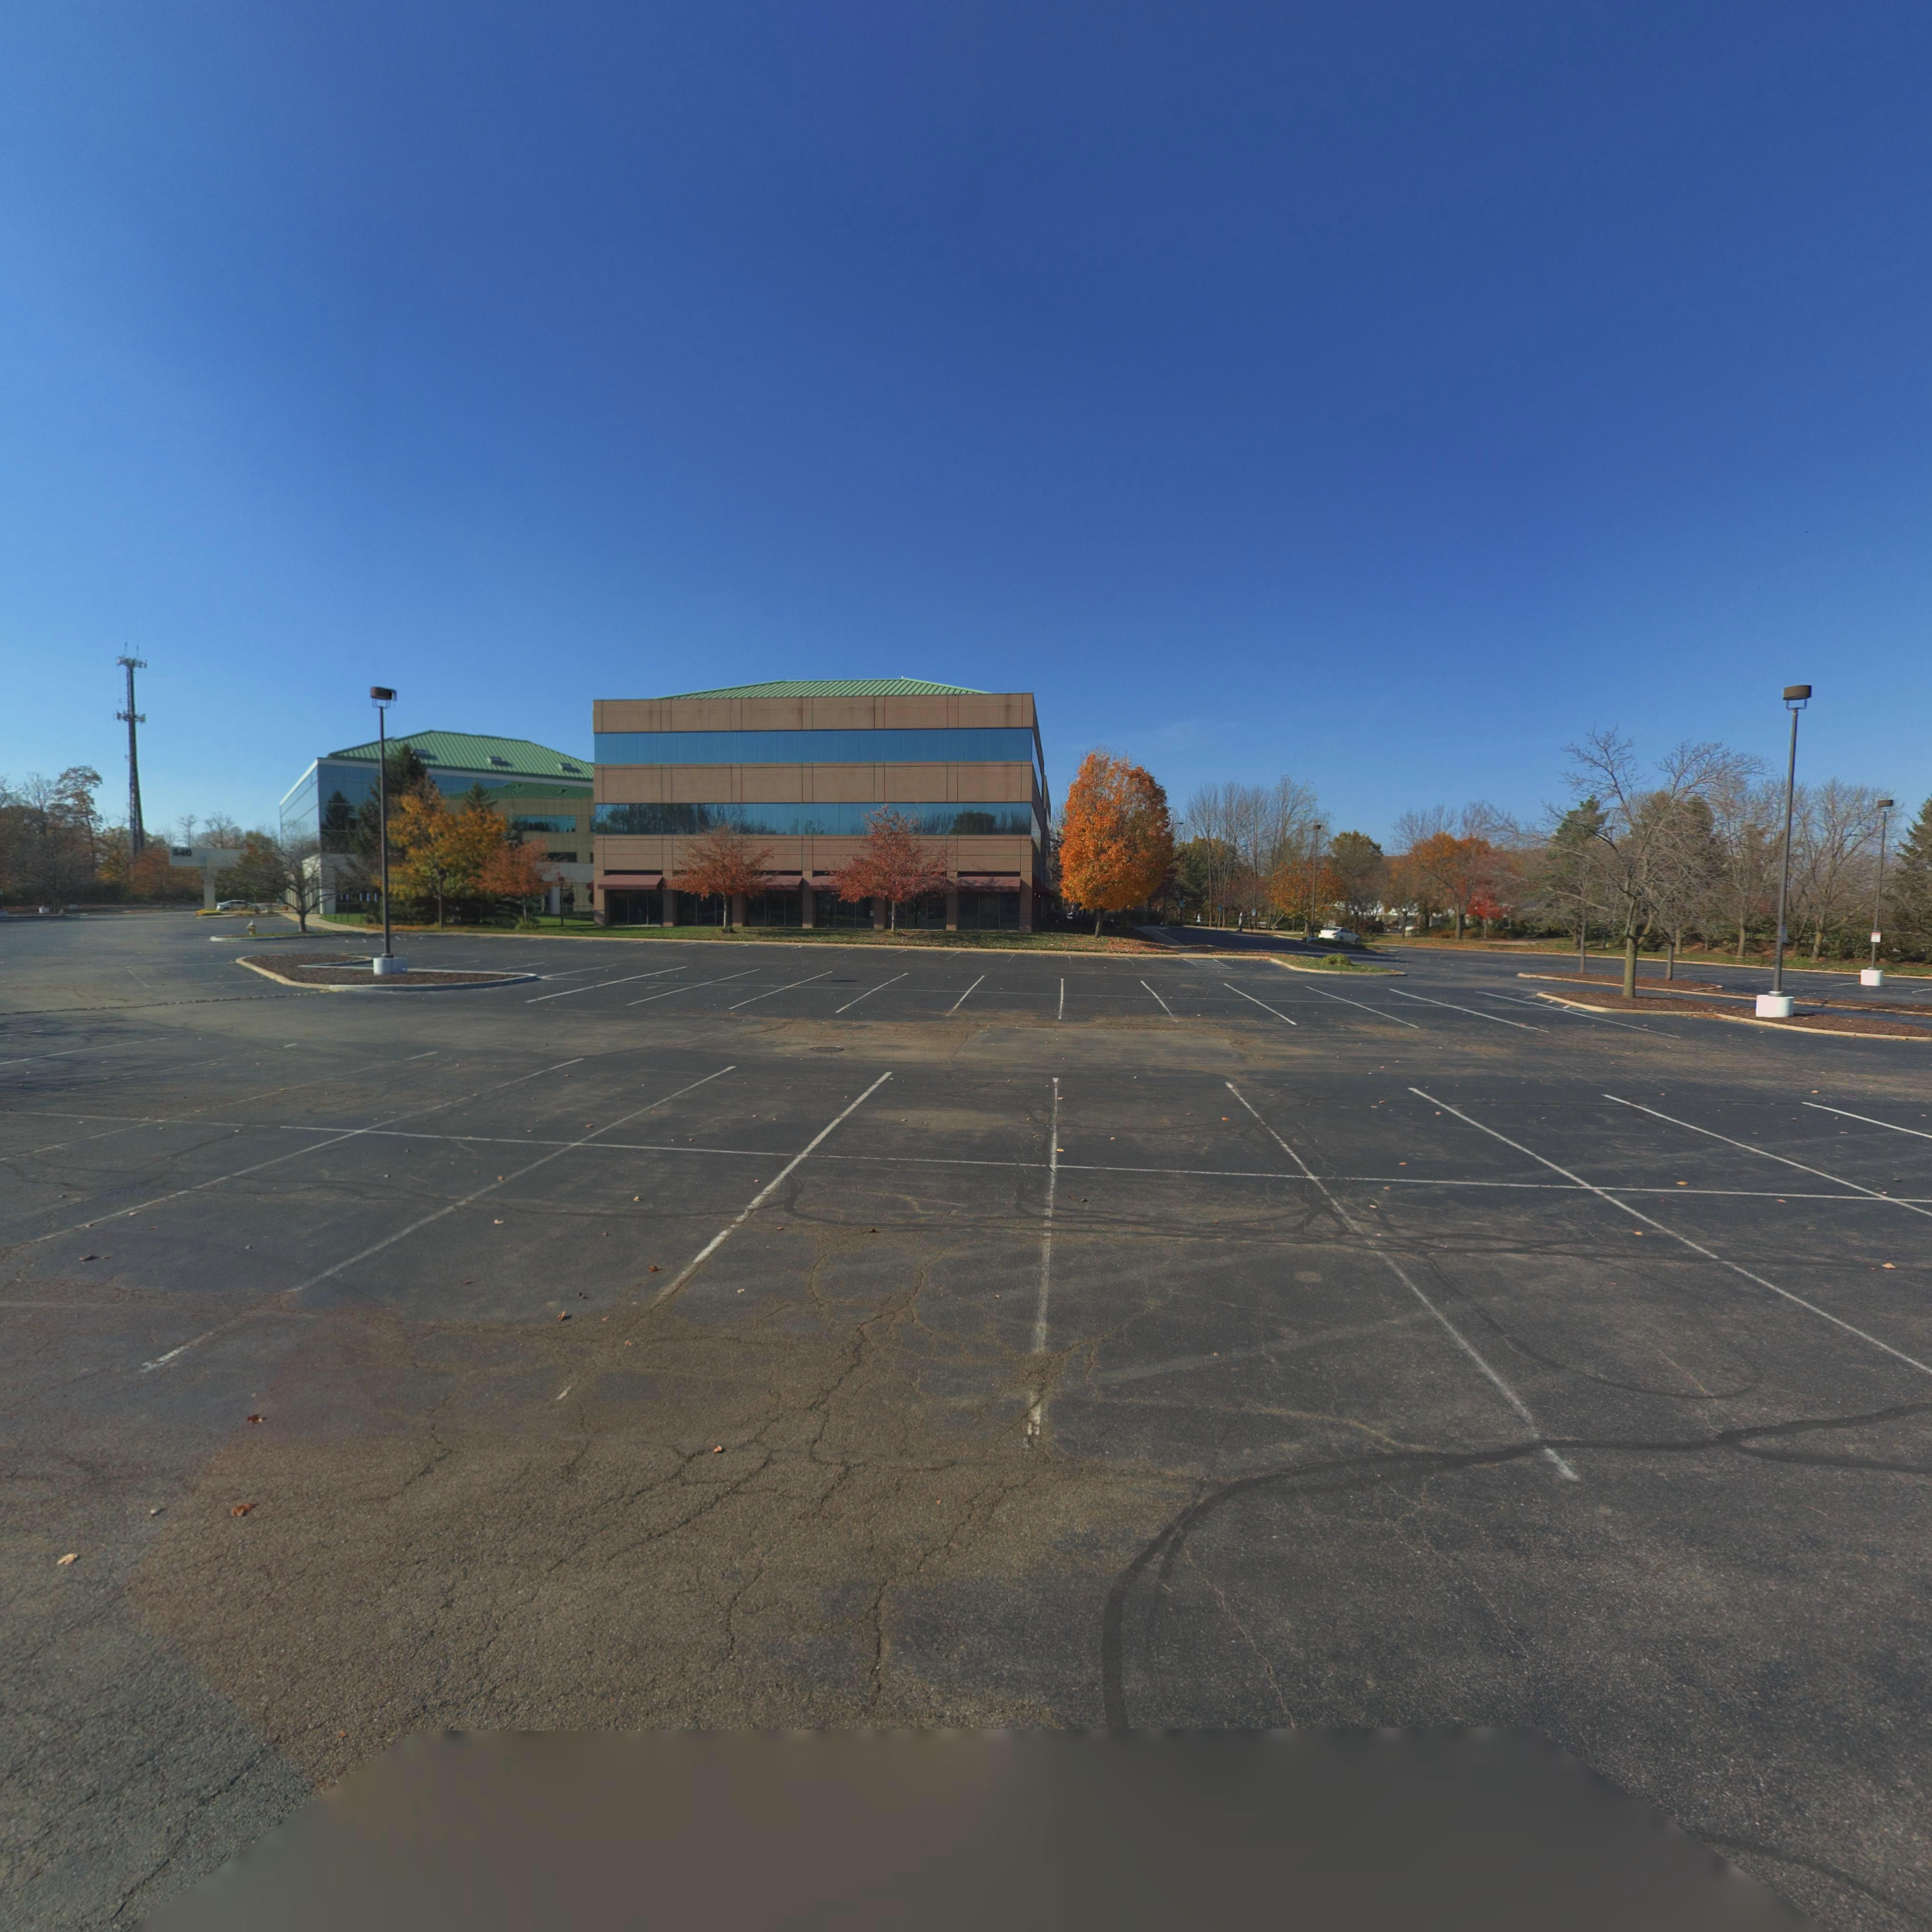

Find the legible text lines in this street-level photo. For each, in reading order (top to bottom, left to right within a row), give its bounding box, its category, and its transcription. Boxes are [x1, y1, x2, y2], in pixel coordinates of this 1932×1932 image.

[173, 848, 192, 857] StreetNumber: 540